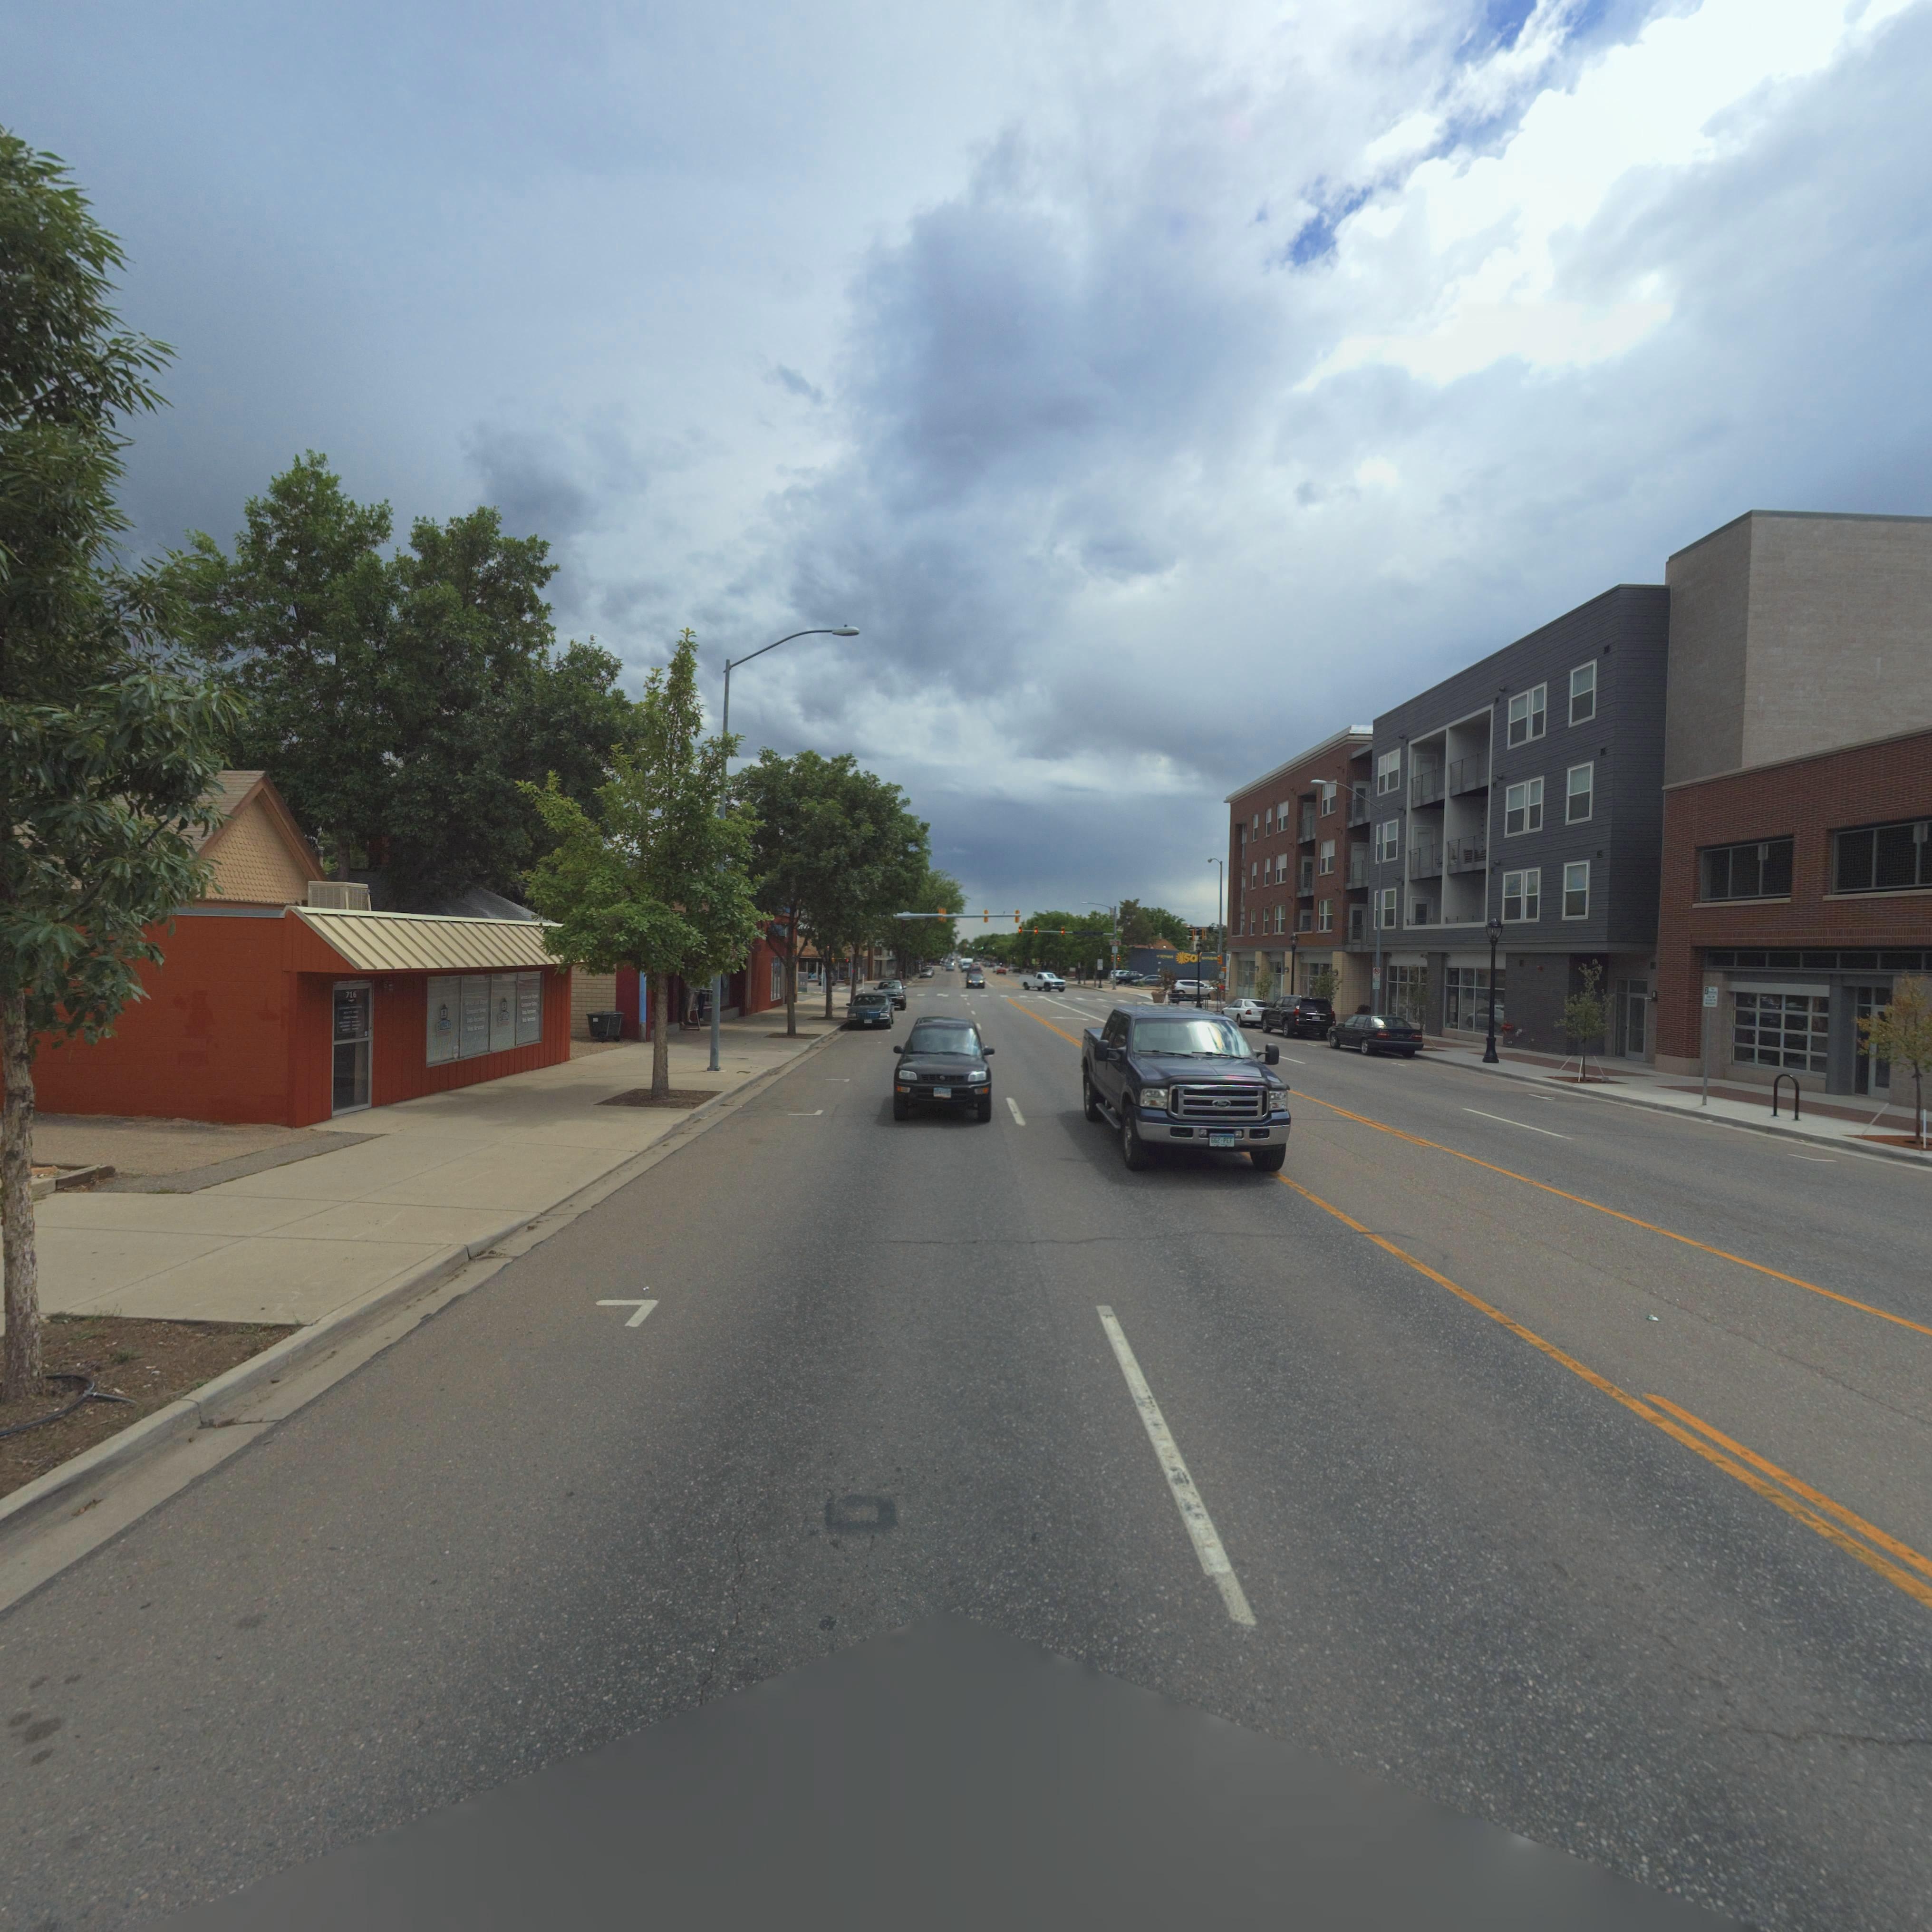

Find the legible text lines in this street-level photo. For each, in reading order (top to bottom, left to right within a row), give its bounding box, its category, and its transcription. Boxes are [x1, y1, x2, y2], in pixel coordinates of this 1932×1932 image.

[1183, 952, 1198, 963] BusinessName: so
[346, 991, 357, 998] StreetNumber: 716
[436, 1019, 451, 1031] BusinessName: CITIZENS